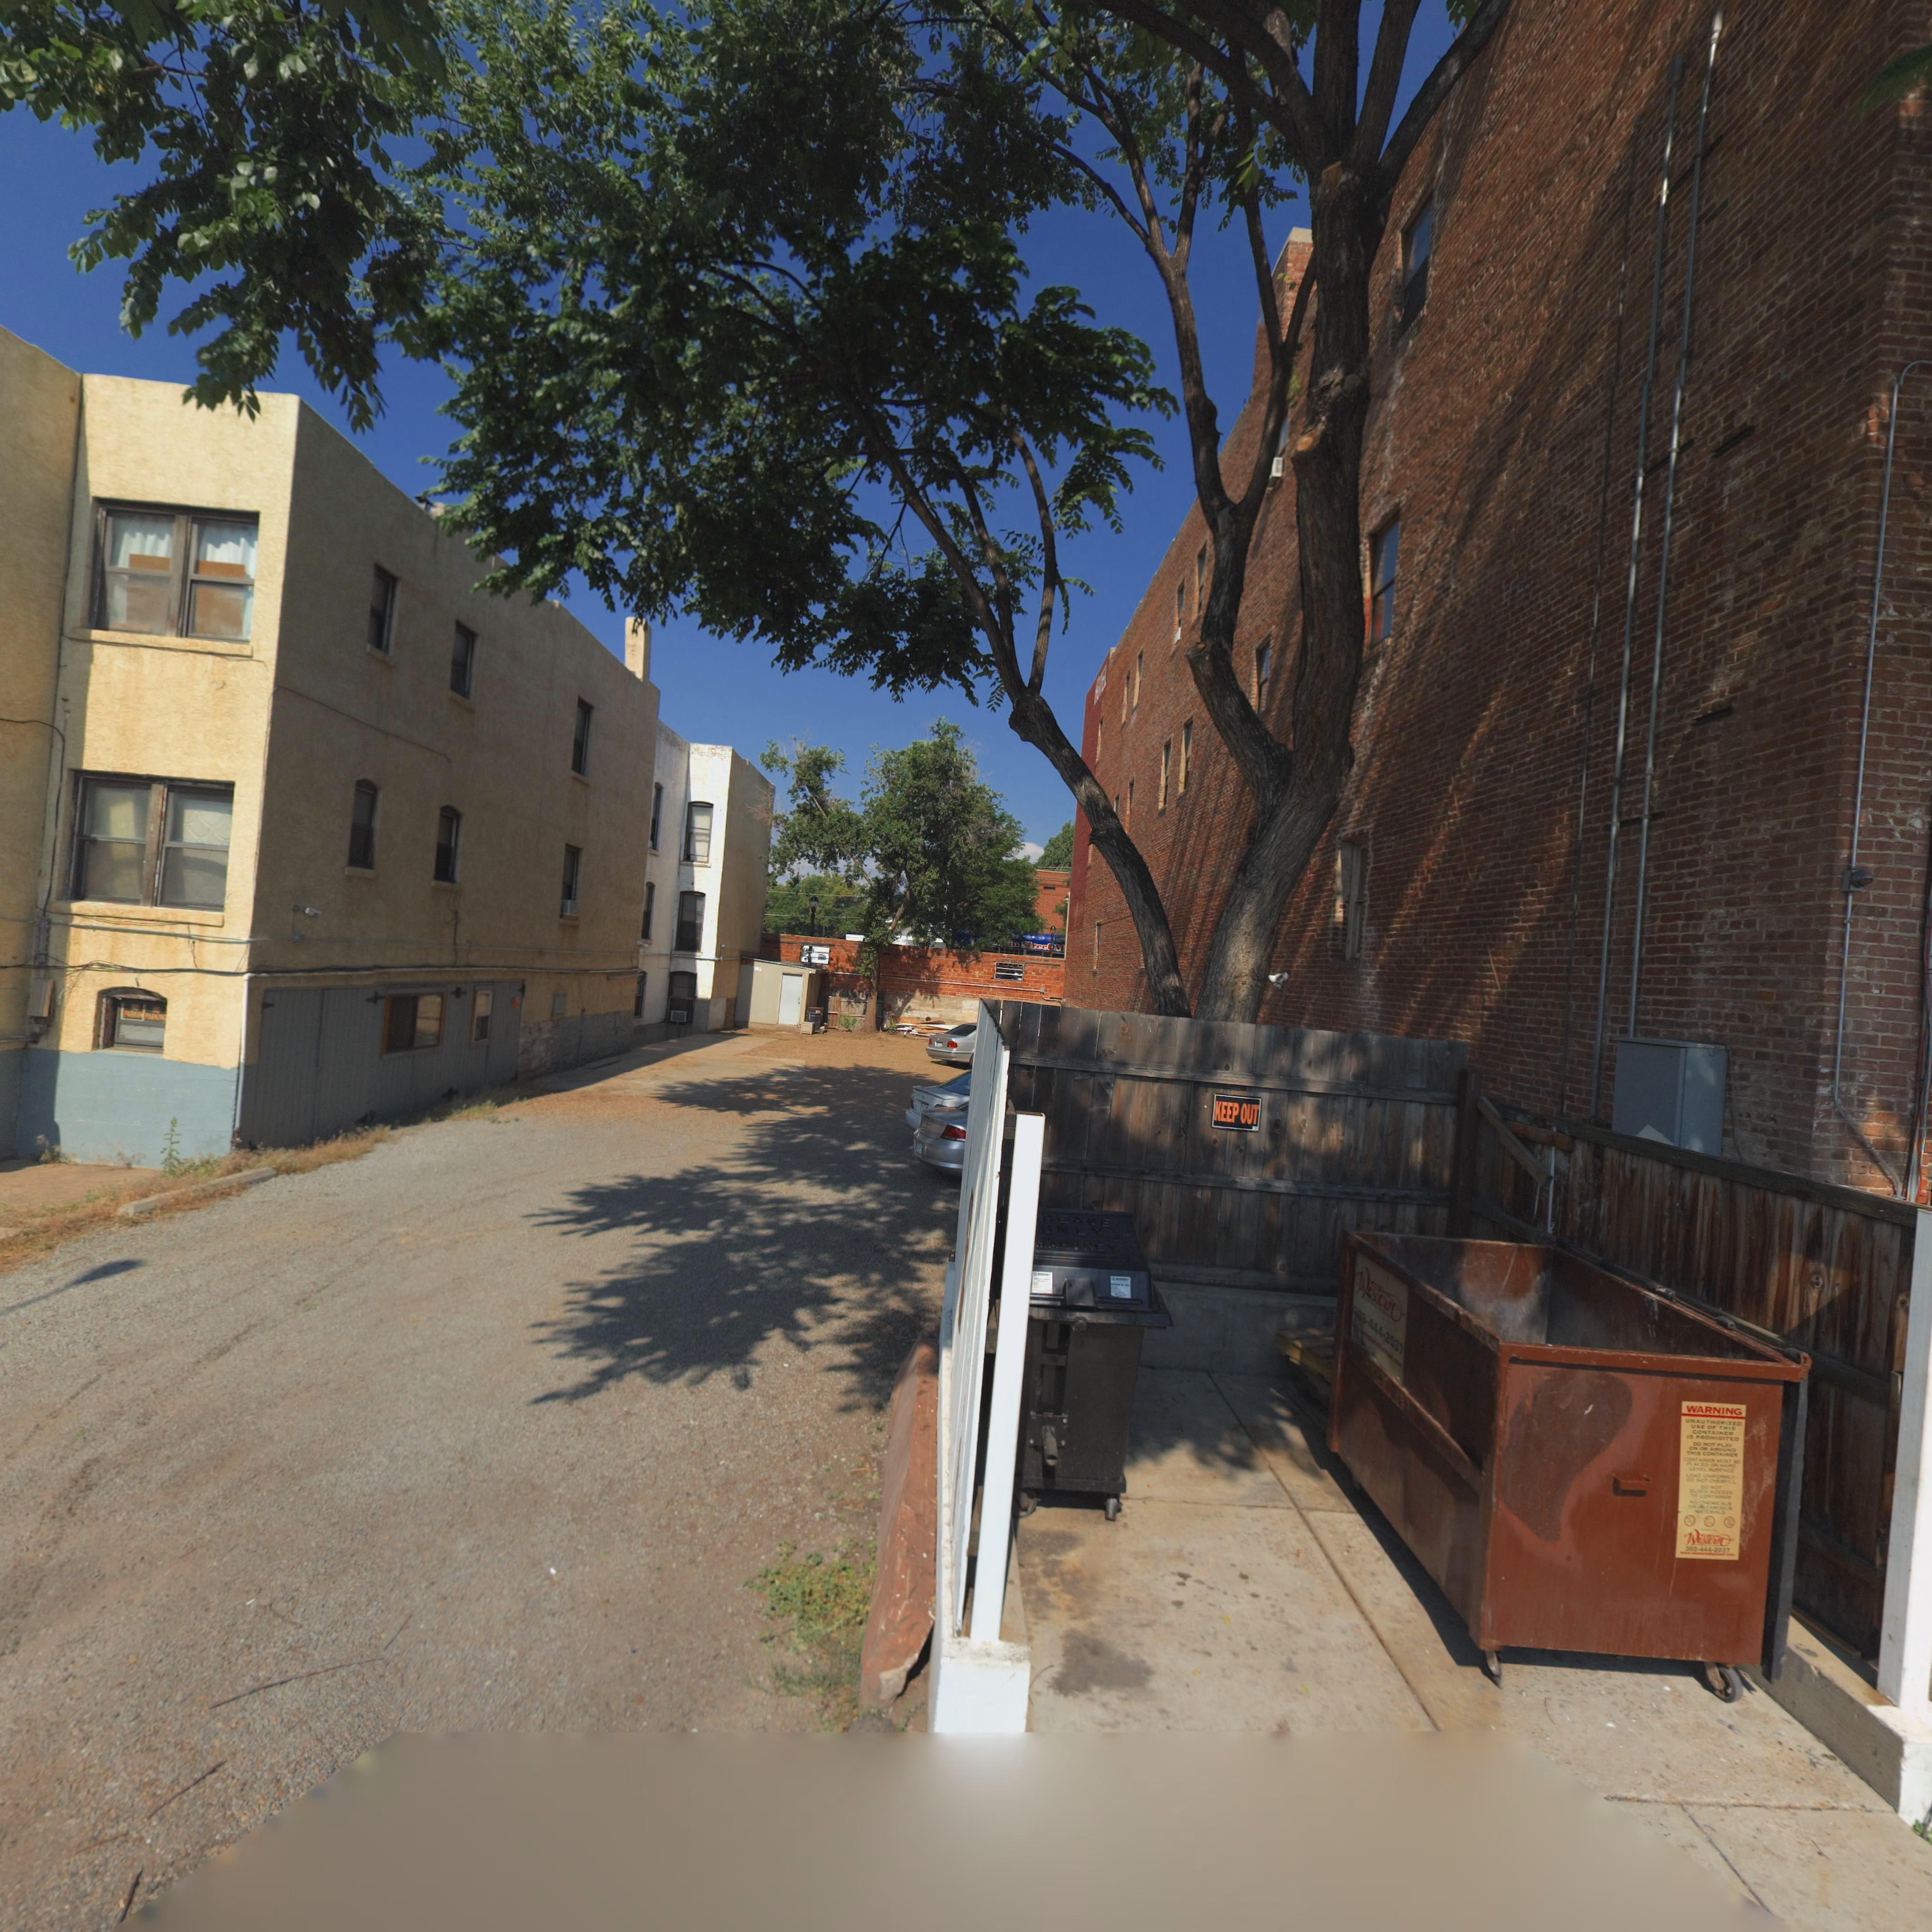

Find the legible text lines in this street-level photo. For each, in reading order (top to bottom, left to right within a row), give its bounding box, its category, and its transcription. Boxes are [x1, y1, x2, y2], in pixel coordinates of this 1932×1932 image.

[994, 937, 1065, 952] BusinessName: **in **ree* M
[1687, 1406, 1742, 1415] BusinessName: WARNING